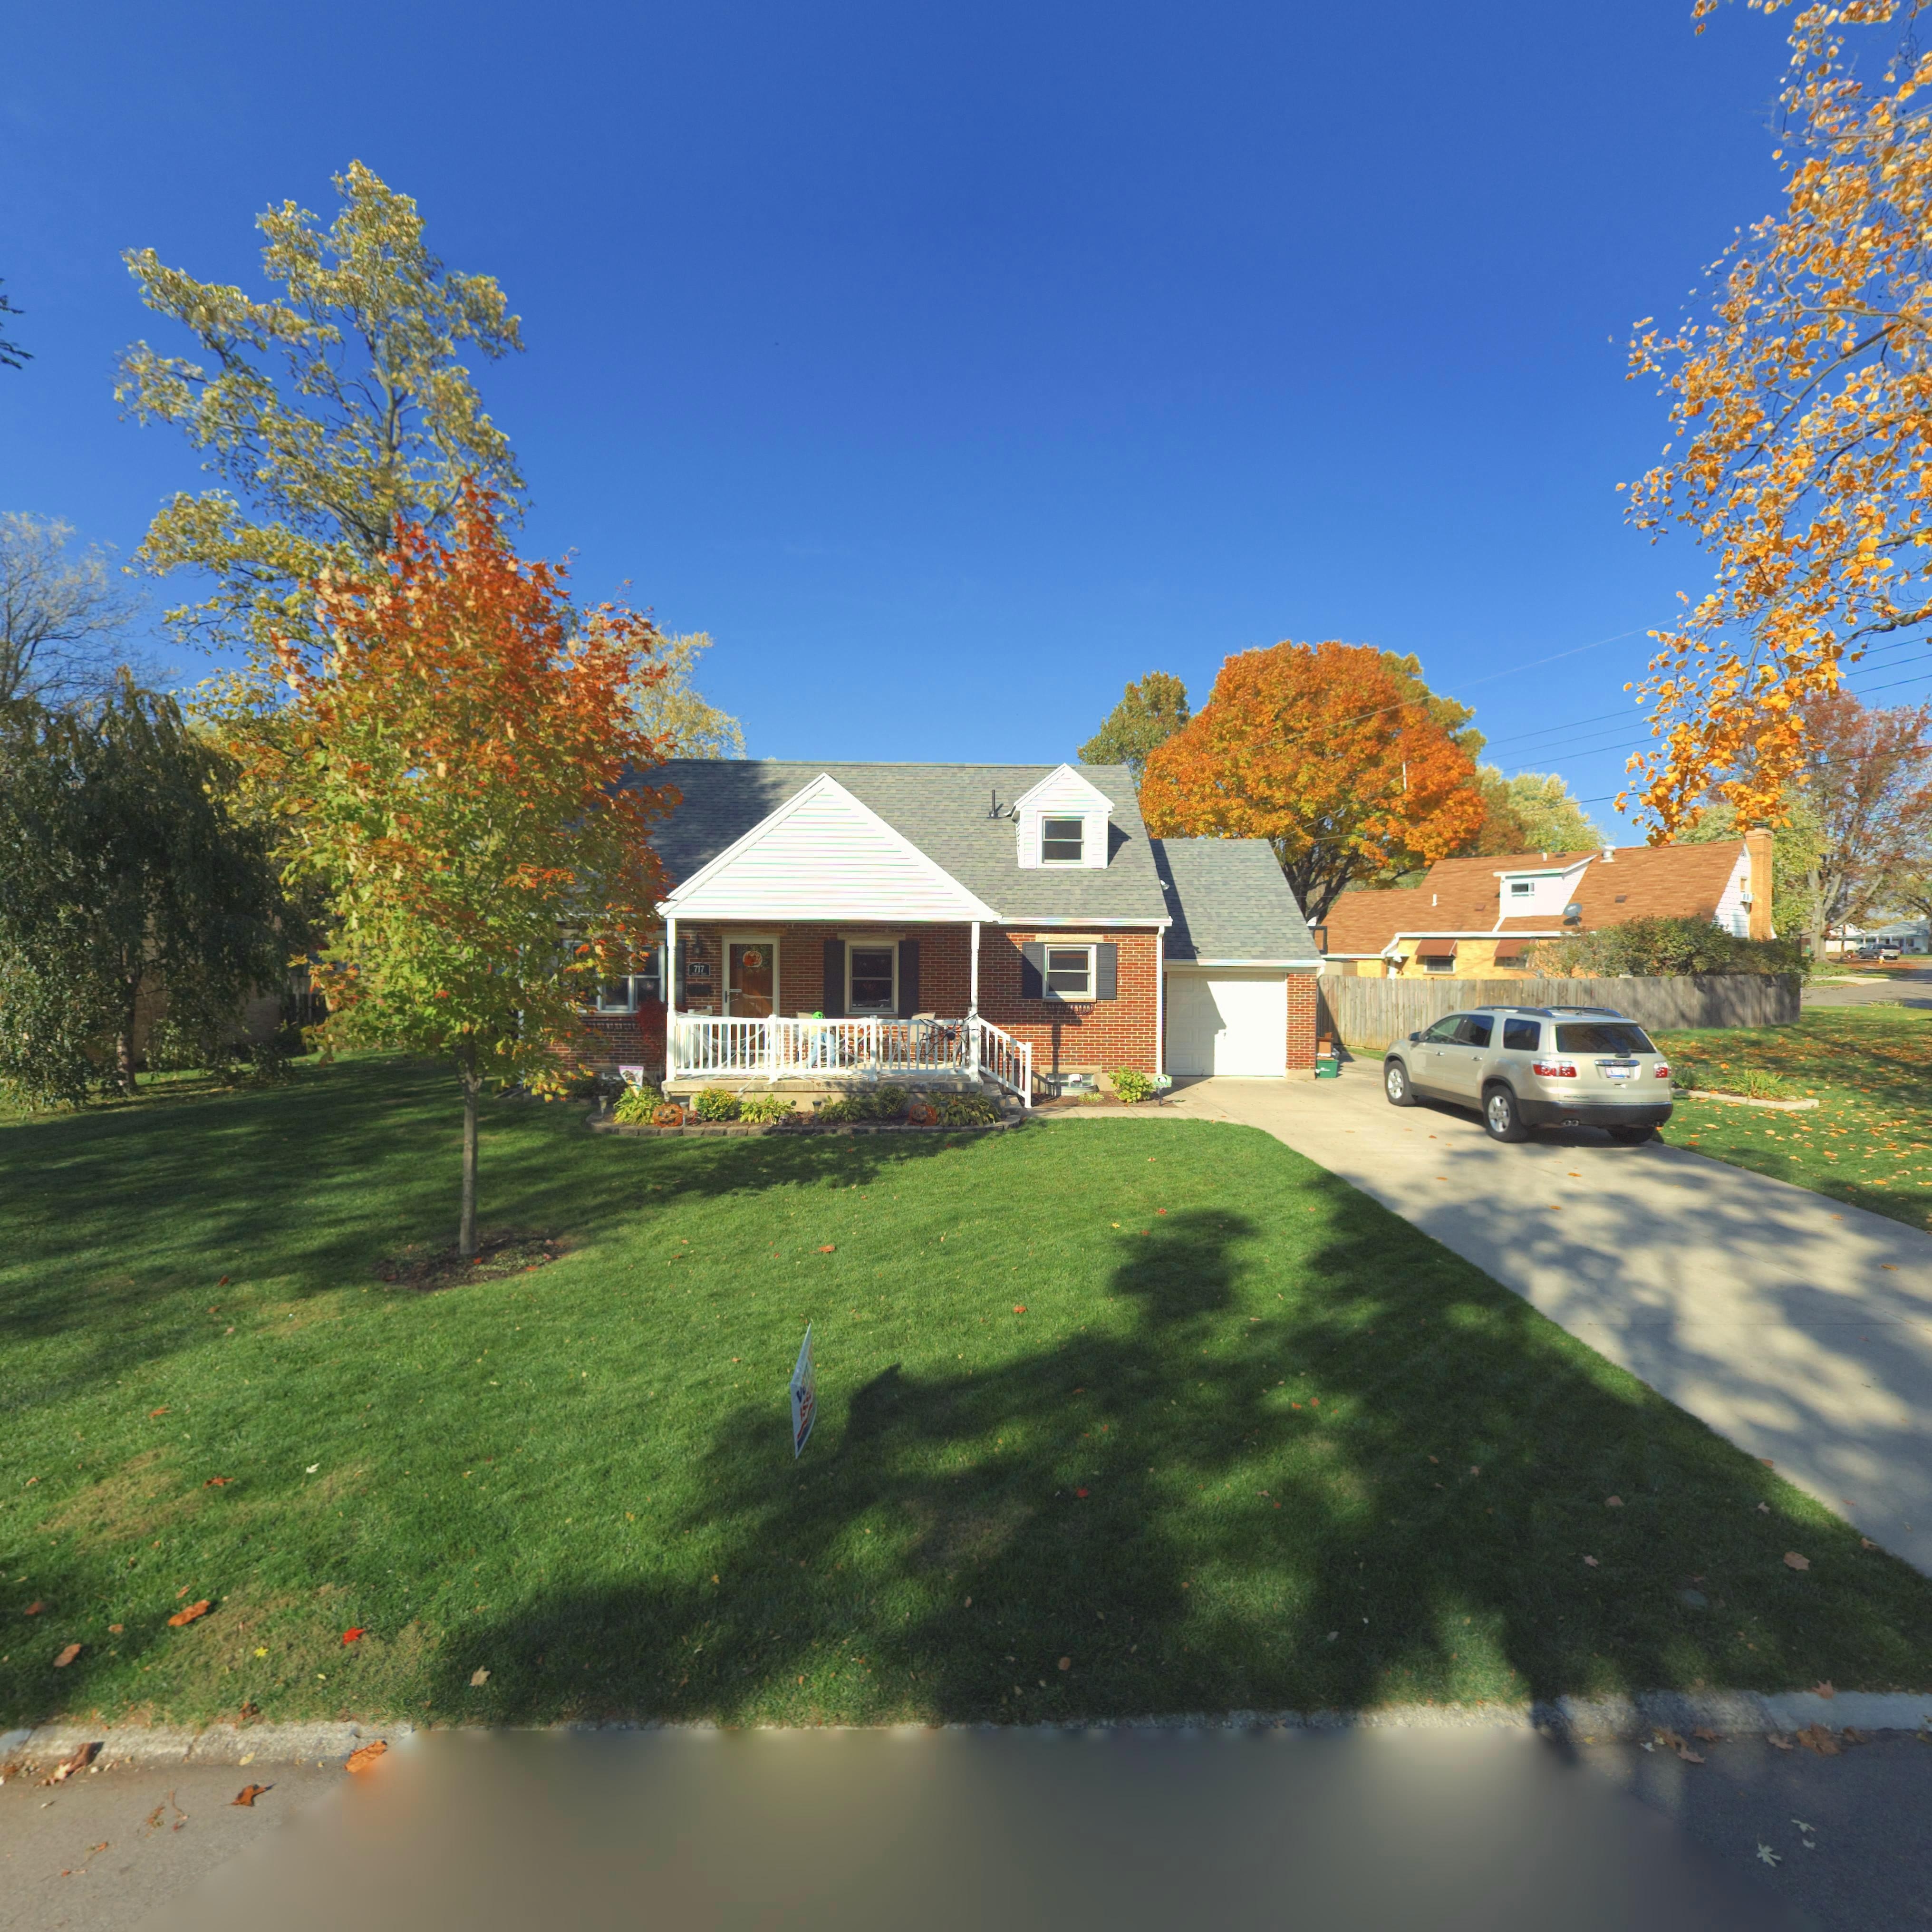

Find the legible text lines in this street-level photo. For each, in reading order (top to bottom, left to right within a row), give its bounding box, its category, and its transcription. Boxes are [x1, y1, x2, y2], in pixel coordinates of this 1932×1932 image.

[693, 964, 706, 974] StreetNumber: 717